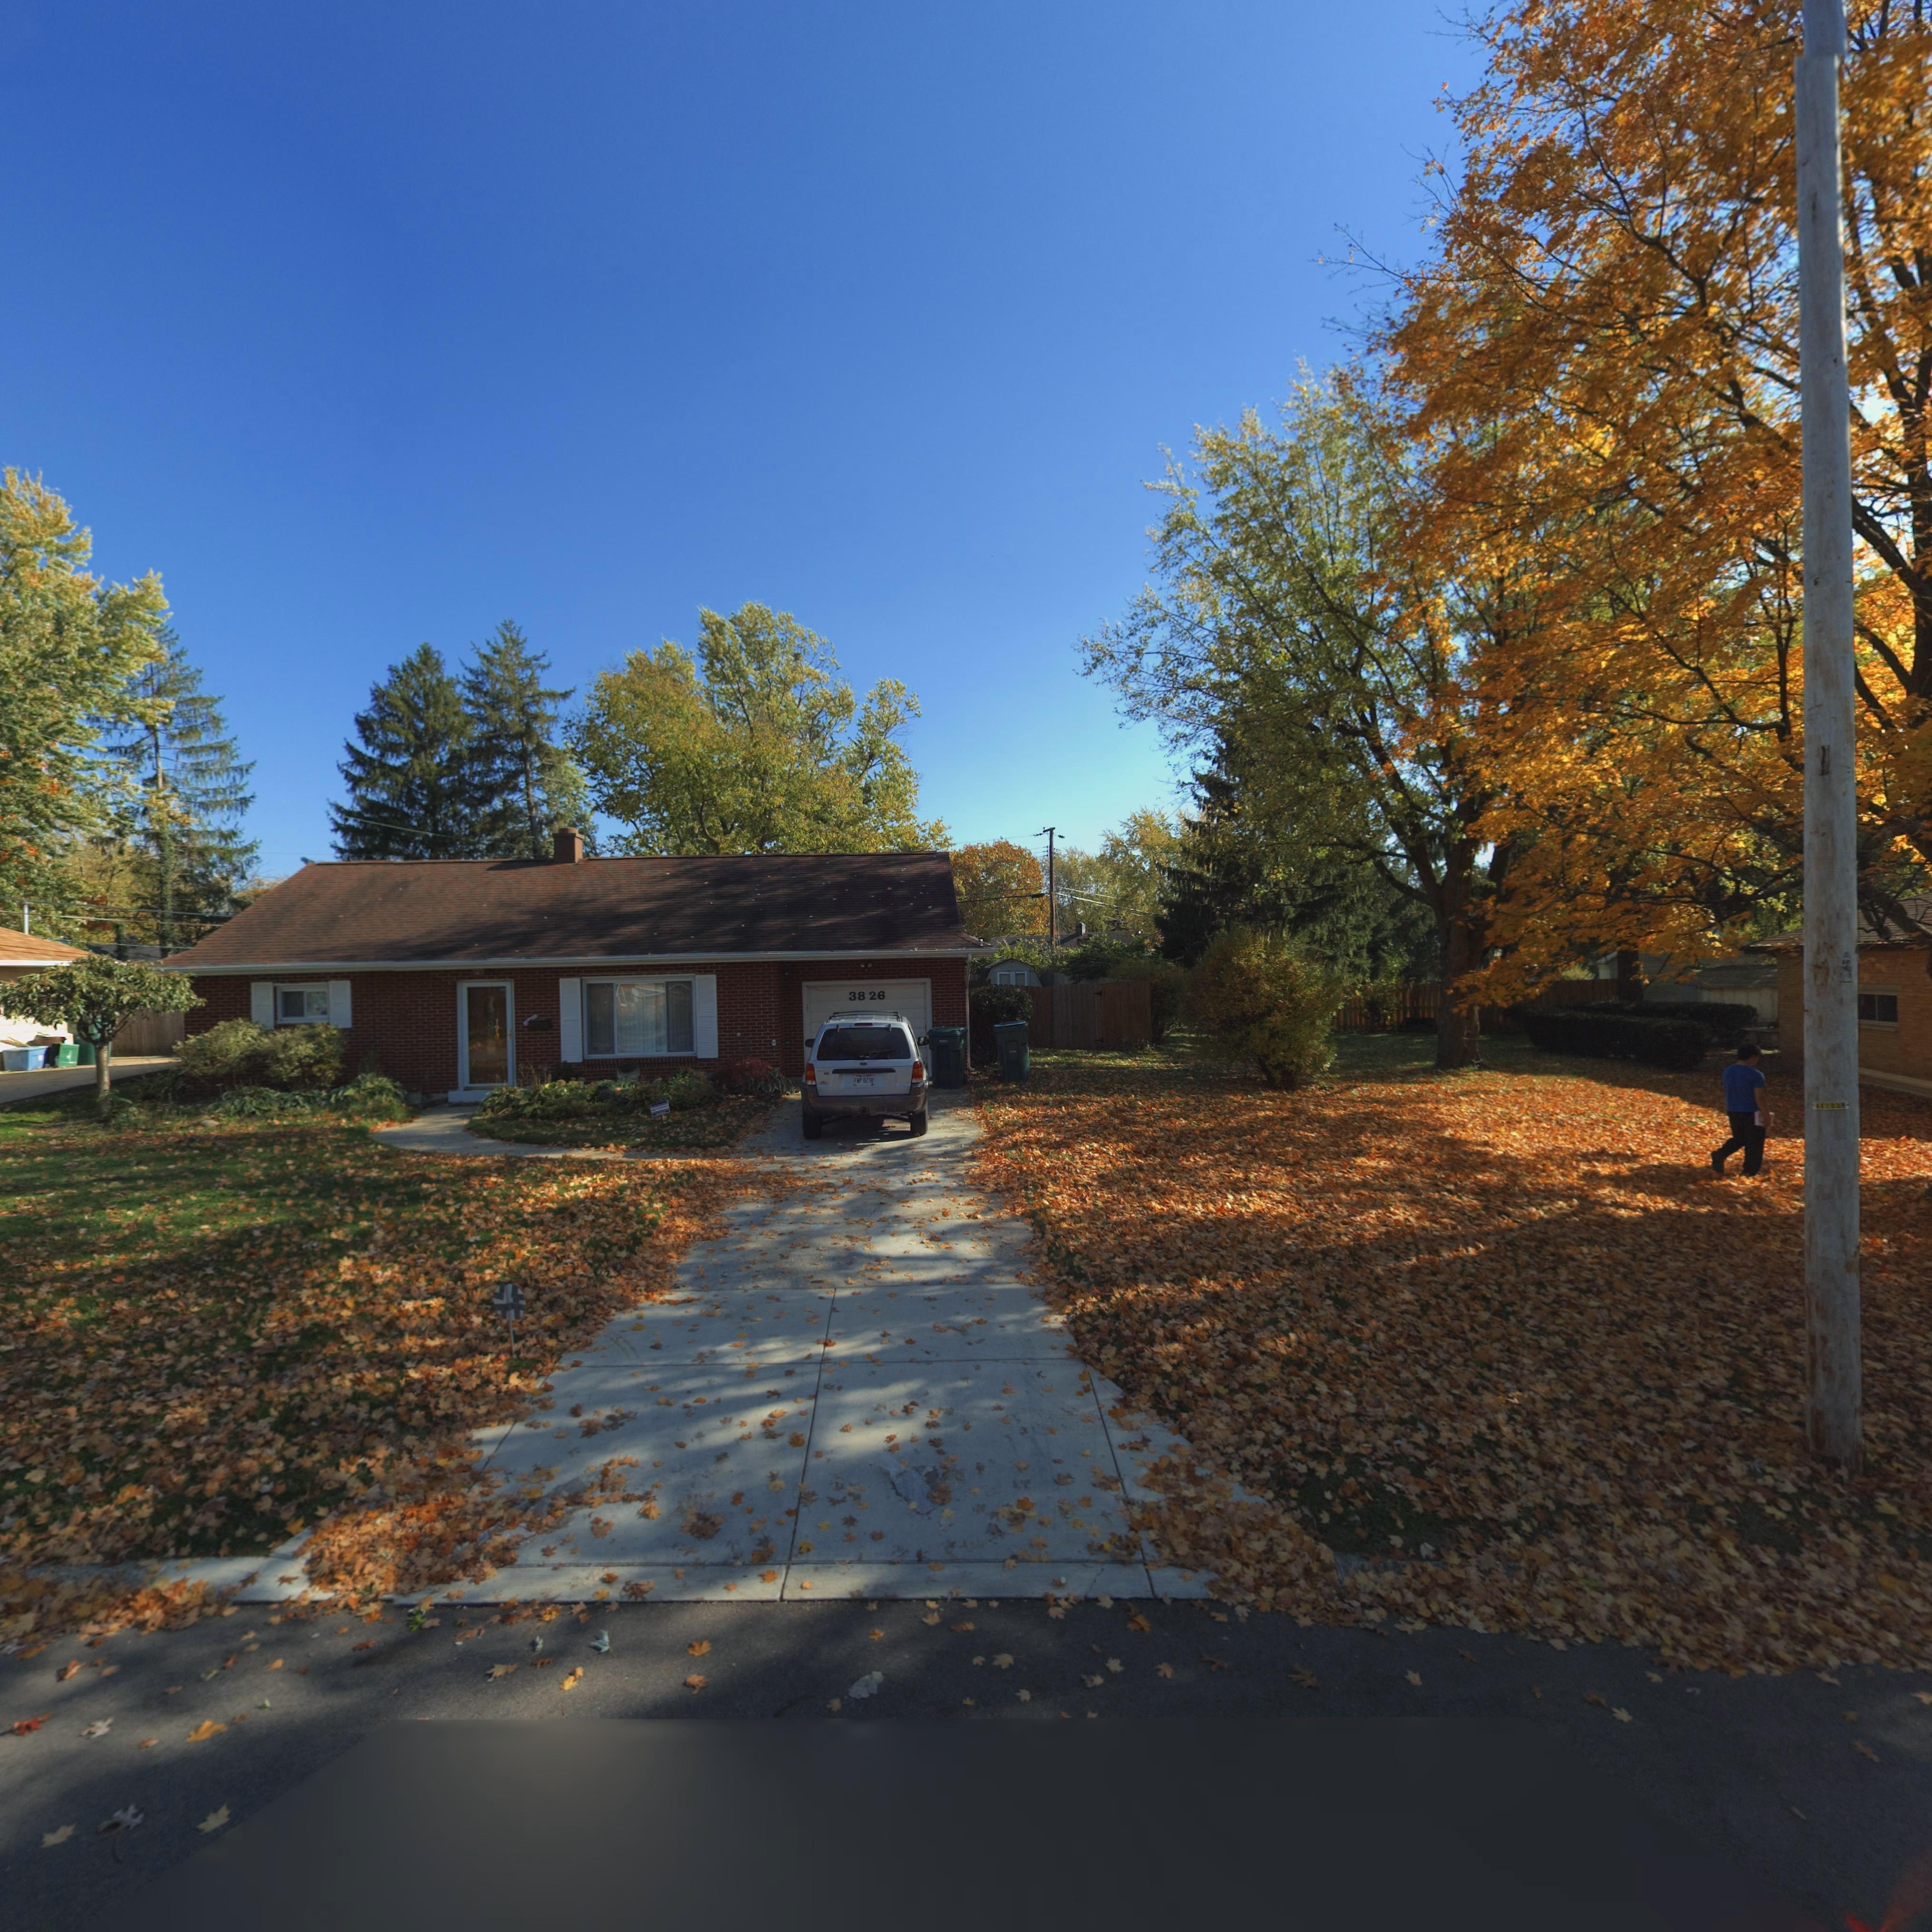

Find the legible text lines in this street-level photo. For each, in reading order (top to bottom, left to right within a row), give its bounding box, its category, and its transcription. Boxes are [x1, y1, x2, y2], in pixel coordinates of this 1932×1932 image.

[848, 989, 886, 1002] StreetNumber: 3826
[853, 1076, 875, 1084] None: FWP 823*